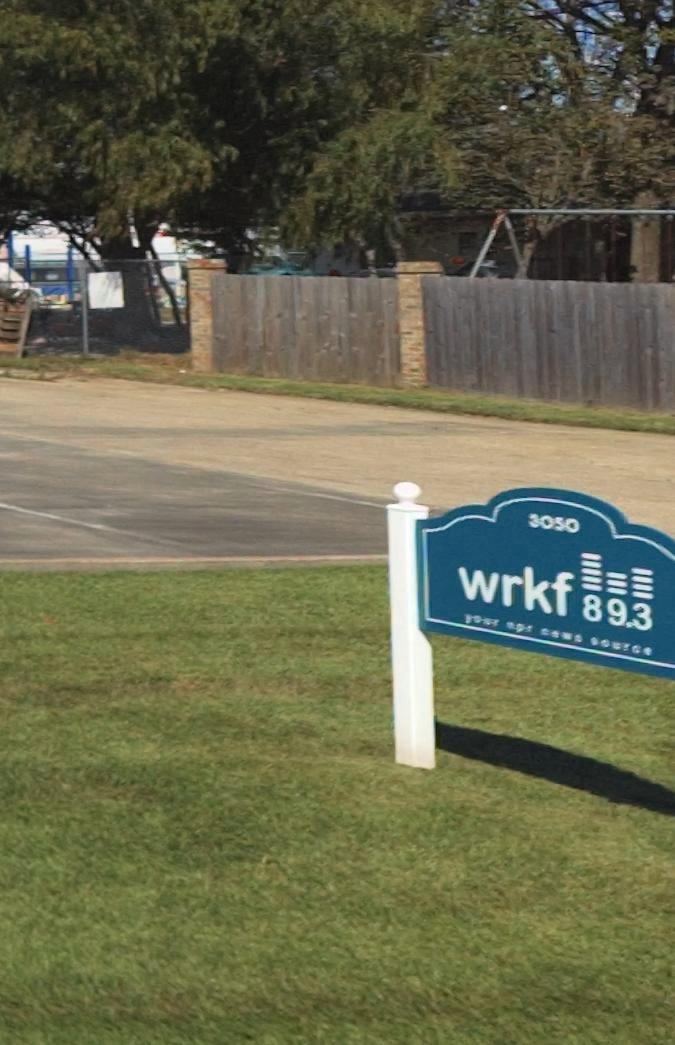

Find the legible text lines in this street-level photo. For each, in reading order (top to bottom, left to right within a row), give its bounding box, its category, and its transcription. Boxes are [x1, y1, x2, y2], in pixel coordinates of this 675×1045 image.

[525, 509, 583, 537] StreetNumber: 3050
[451, 558, 657, 636] BusinessName: wrkf 89.3
[461, 610, 656, 660] None: yo*r aps c*** so*rce